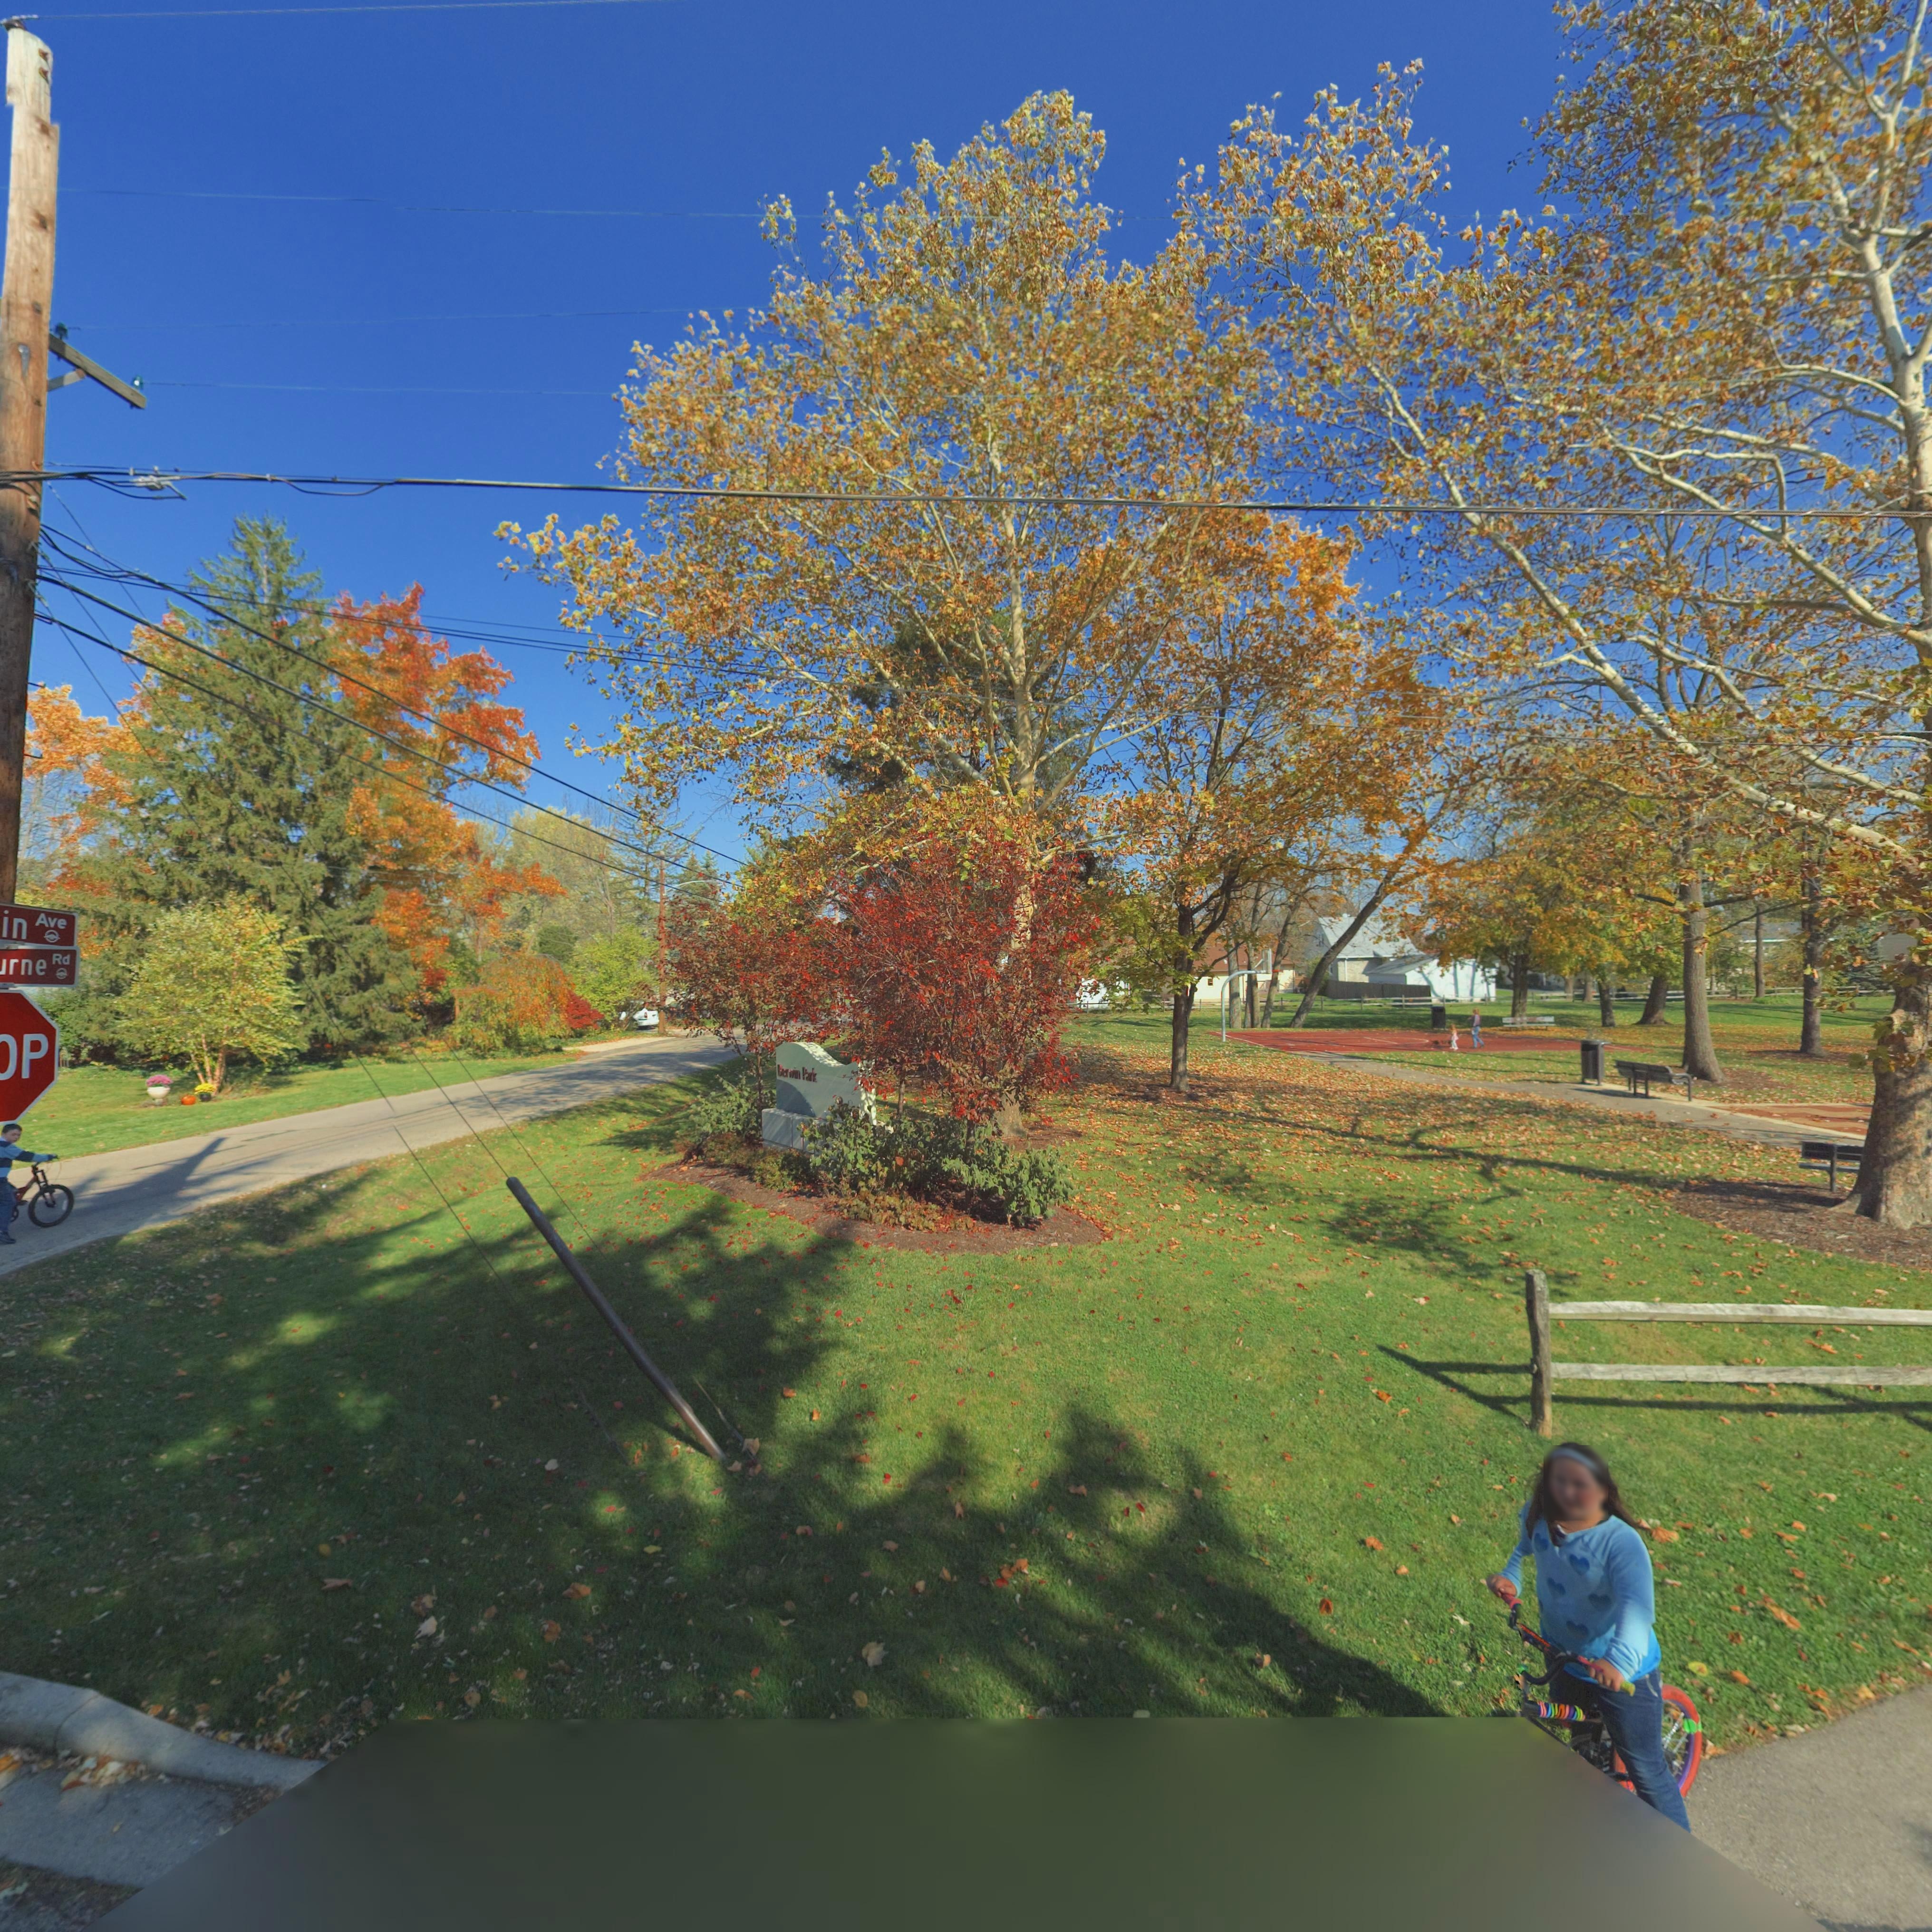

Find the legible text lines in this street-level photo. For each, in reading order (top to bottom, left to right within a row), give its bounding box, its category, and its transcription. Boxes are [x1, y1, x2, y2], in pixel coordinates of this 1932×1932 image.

[0, 907, 69, 942] StreetName: in Ave
[7, 951, 72, 978] StreetName: rne Rd
[19, 1031, 50, 1081] None: P
[776, 1061, 820, 1085] None: Berwin Park